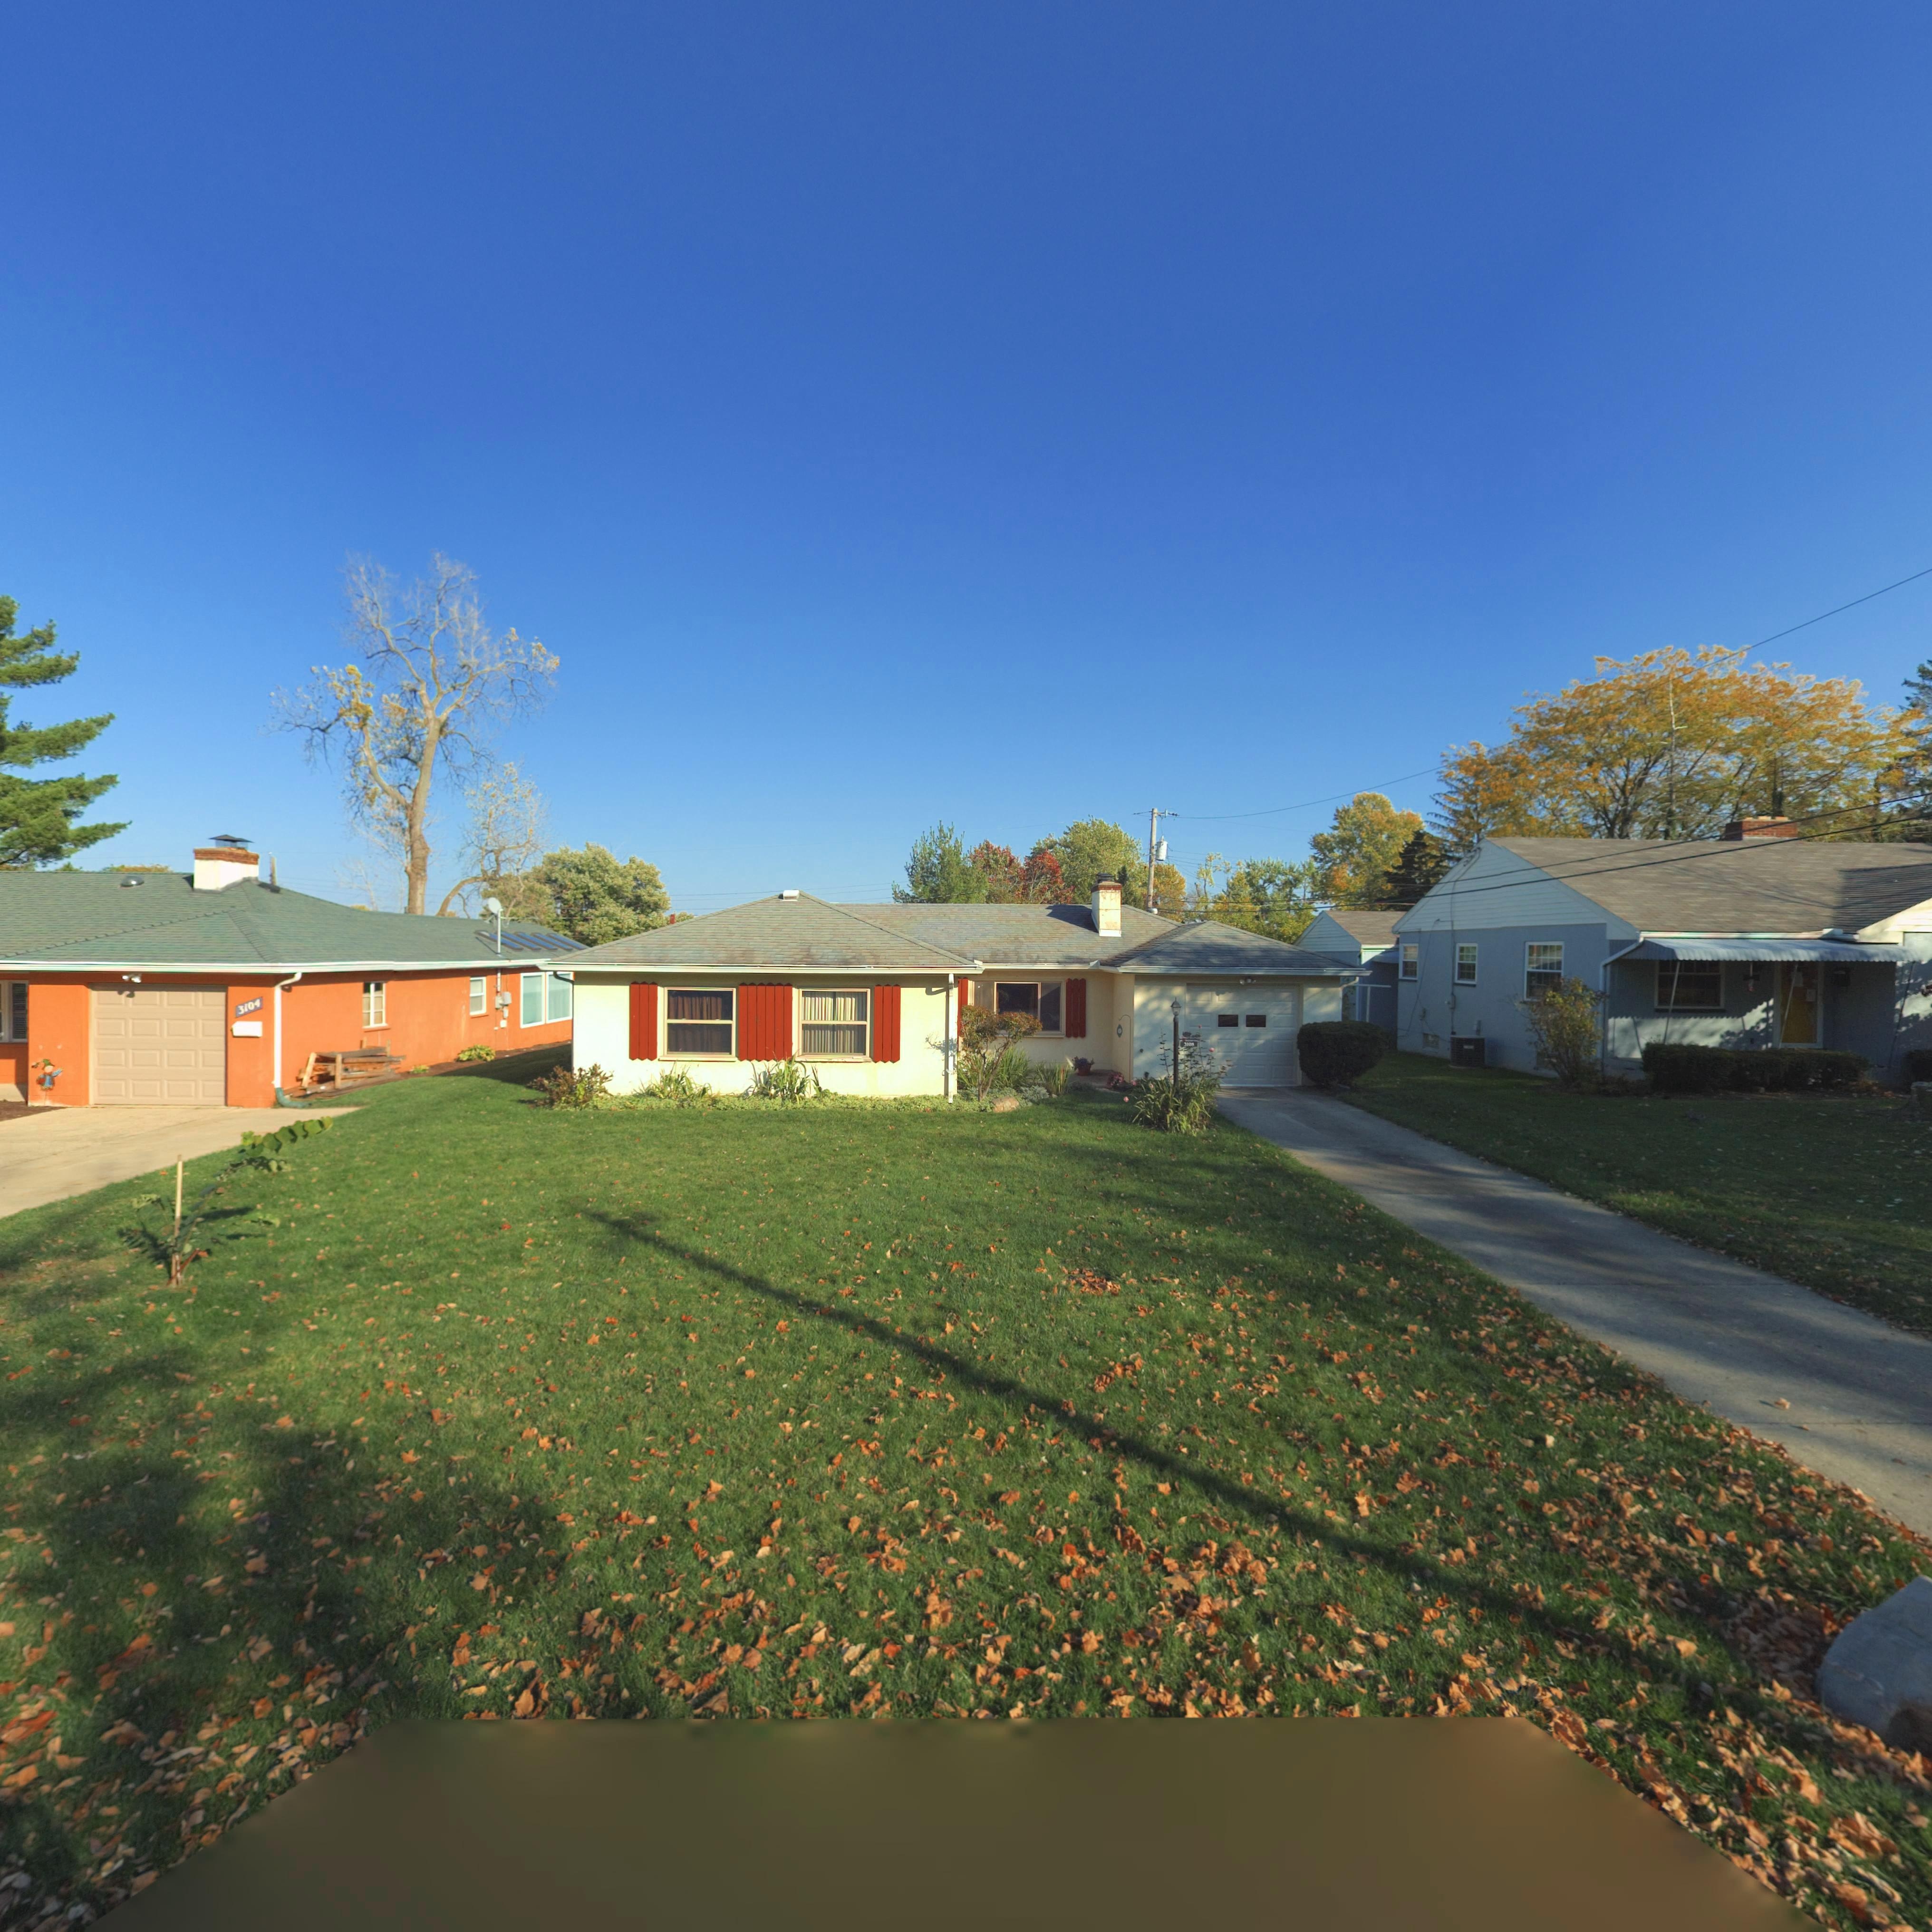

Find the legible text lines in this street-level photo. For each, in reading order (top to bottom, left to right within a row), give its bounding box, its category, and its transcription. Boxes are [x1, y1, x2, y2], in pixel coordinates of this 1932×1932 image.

[237, 996, 262, 1015] StreetNumber: 3104
[1183, 1042, 1195, 1047] StreetNumber: 310*